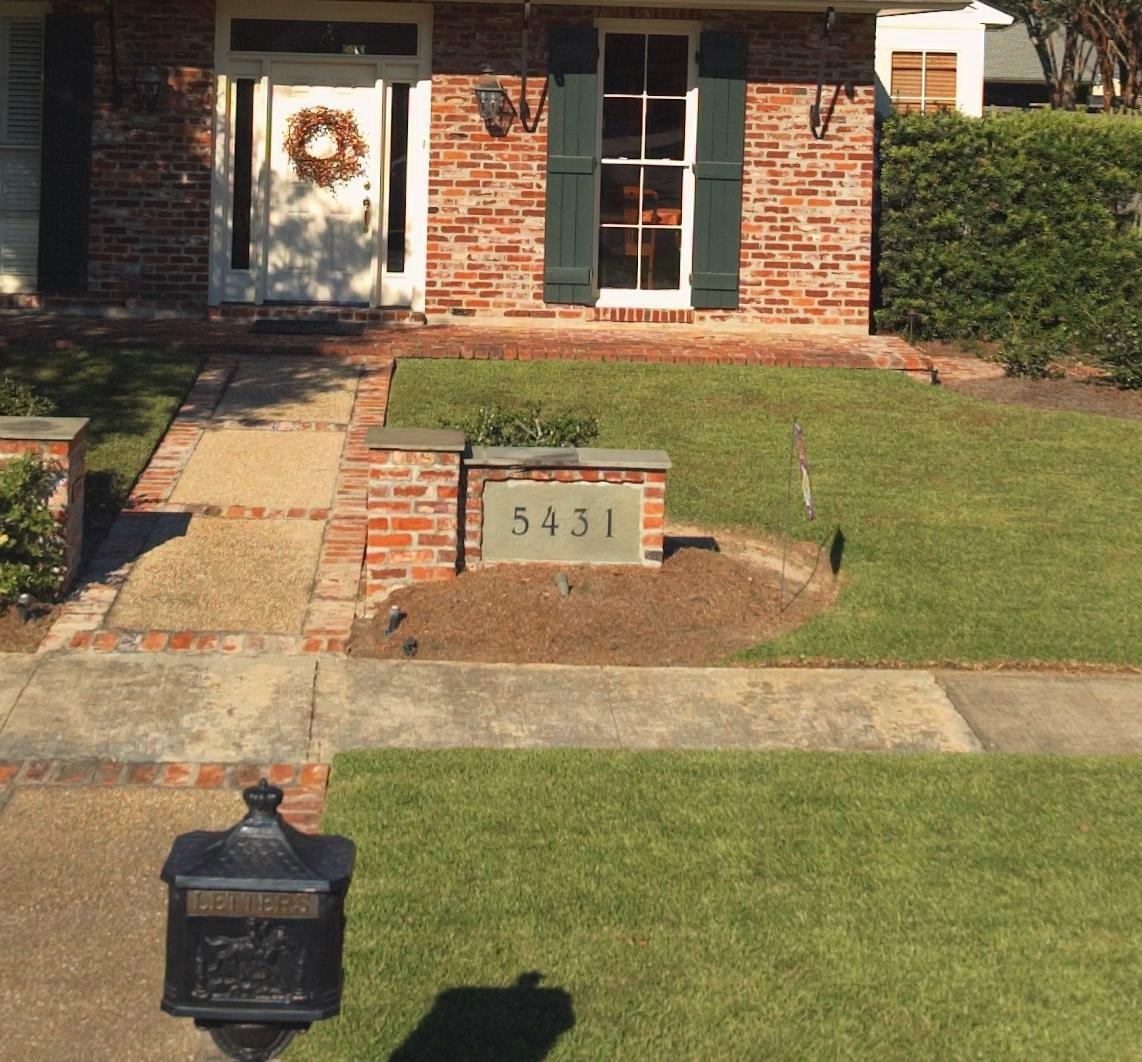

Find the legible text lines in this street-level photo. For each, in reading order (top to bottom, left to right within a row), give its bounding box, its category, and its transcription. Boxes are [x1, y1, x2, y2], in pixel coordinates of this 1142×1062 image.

[508, 503, 616, 540] StreetNumber: 5431
[191, 888, 314, 917] None: LETTERS